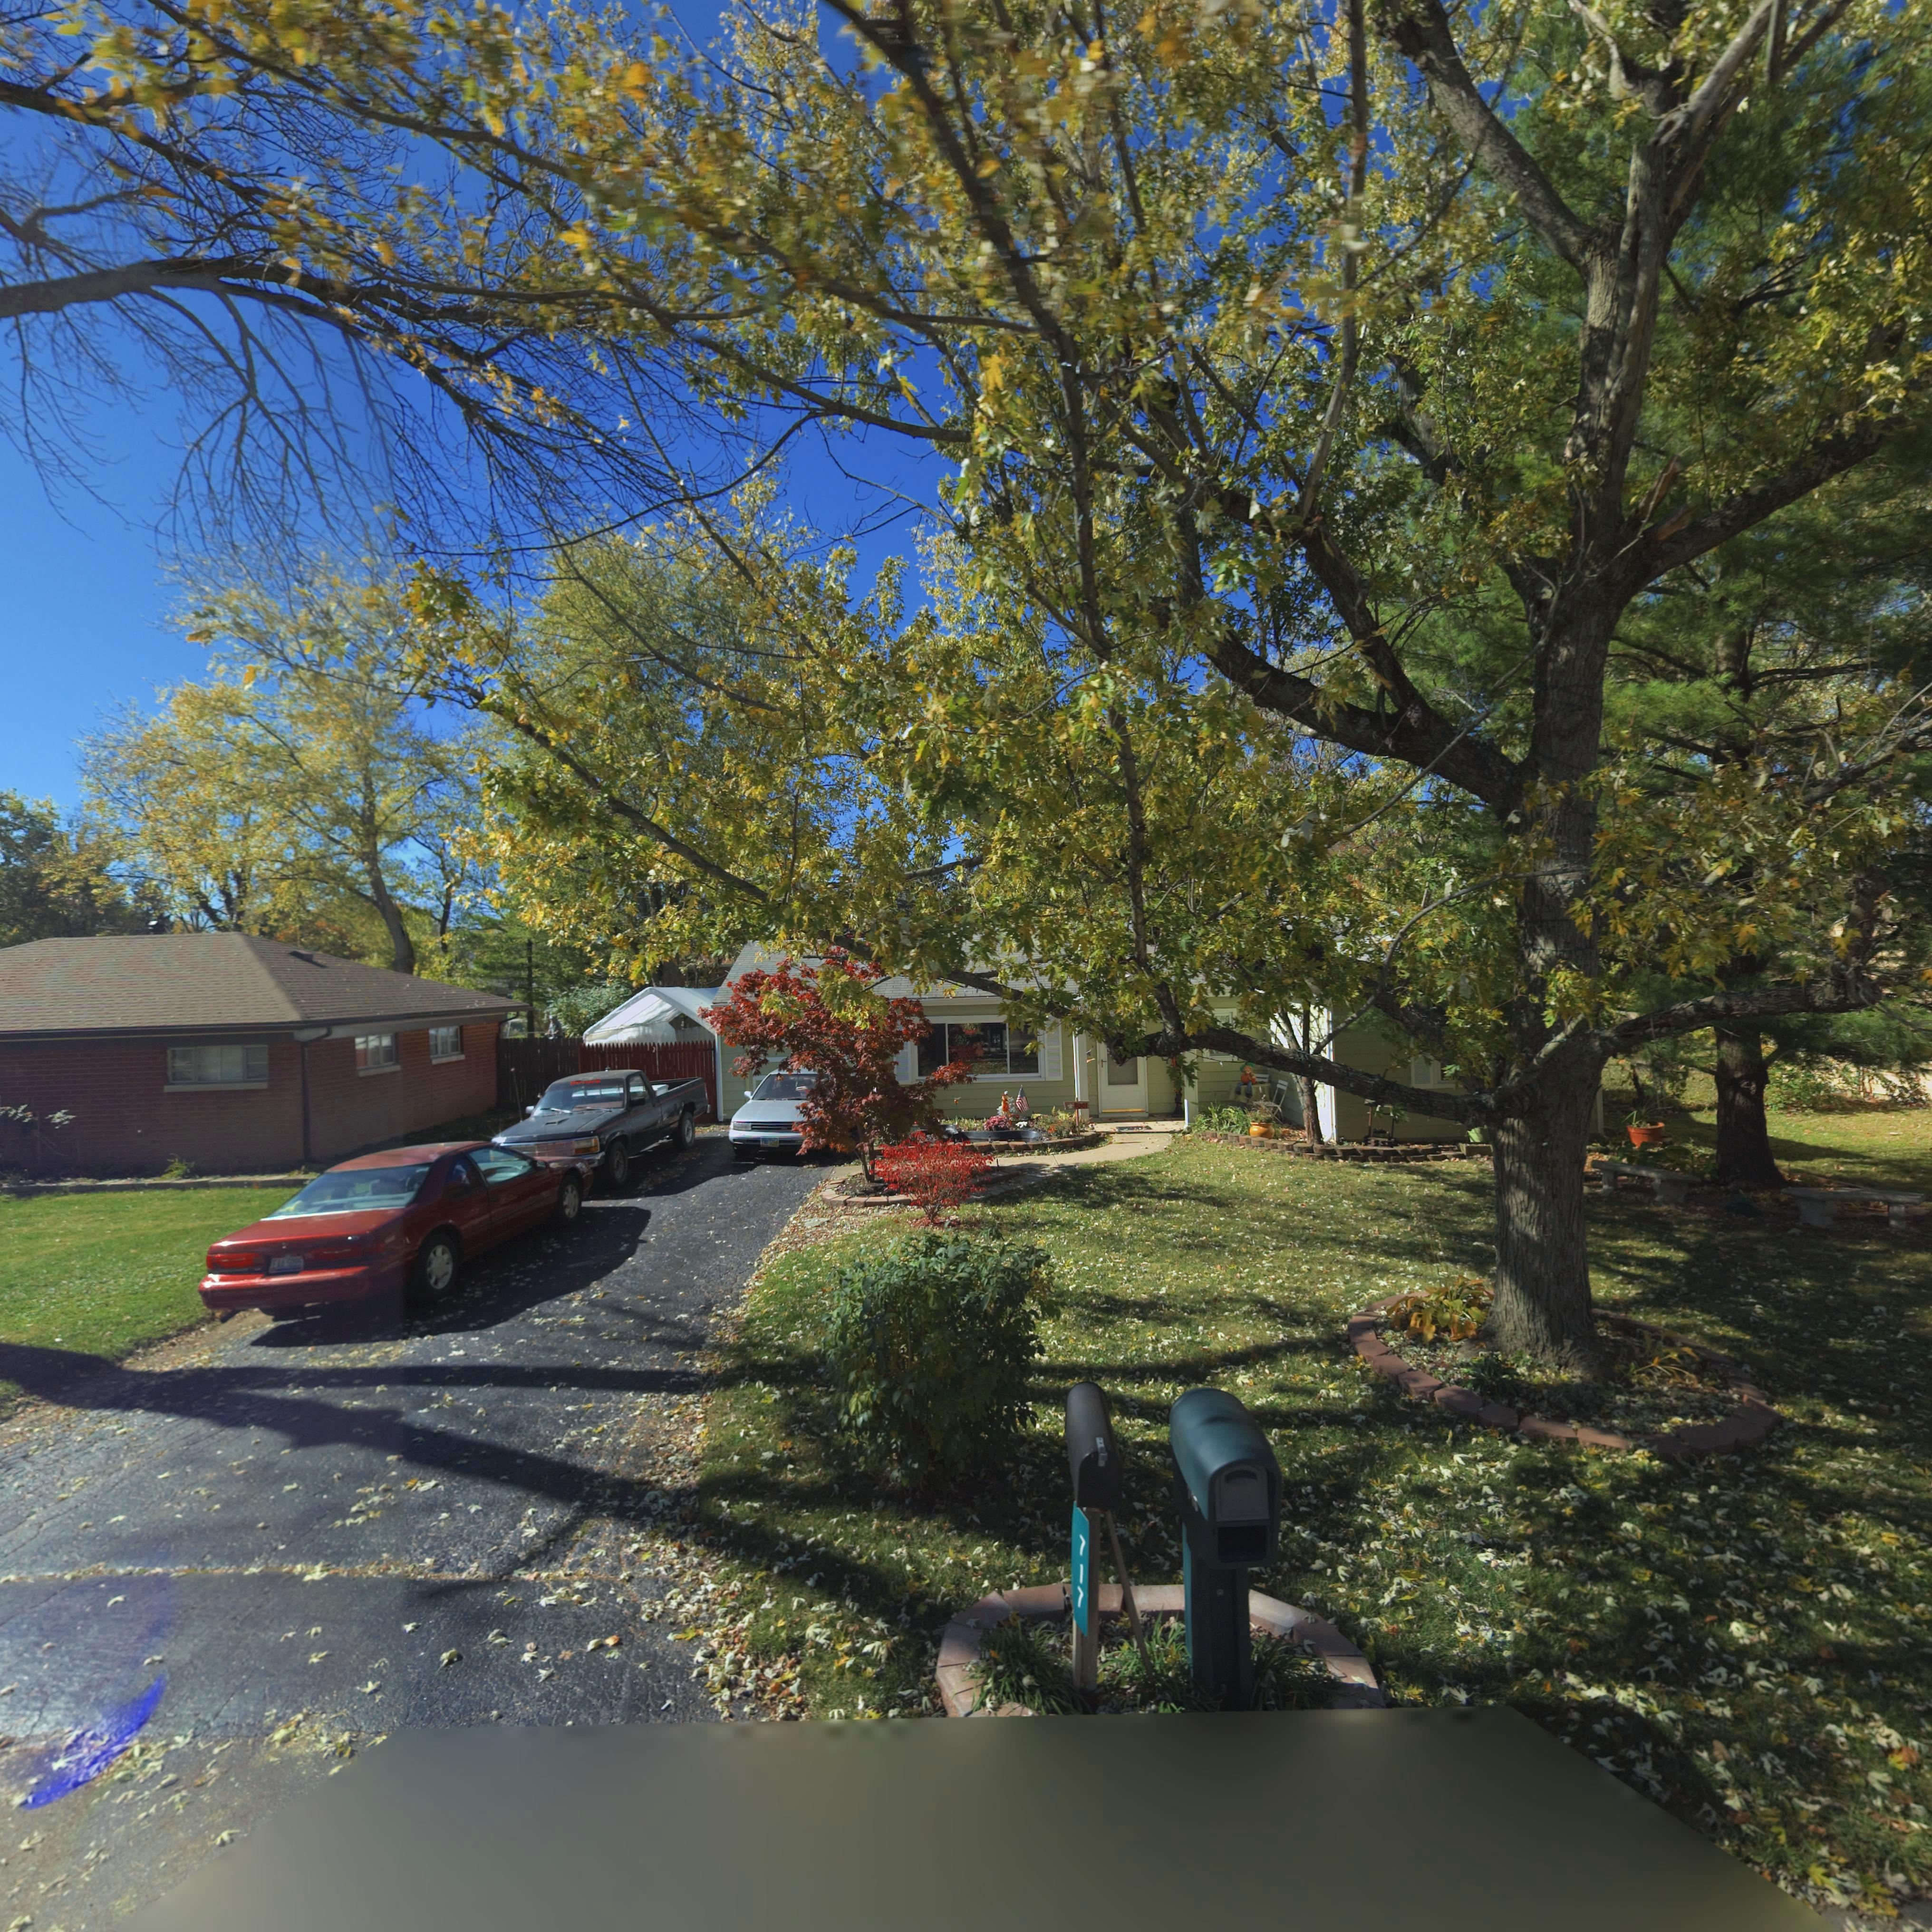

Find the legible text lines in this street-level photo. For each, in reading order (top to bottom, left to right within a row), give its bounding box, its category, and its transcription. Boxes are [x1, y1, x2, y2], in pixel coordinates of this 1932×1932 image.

[1075, 1531, 1088, 1611] StreetNumber: 717